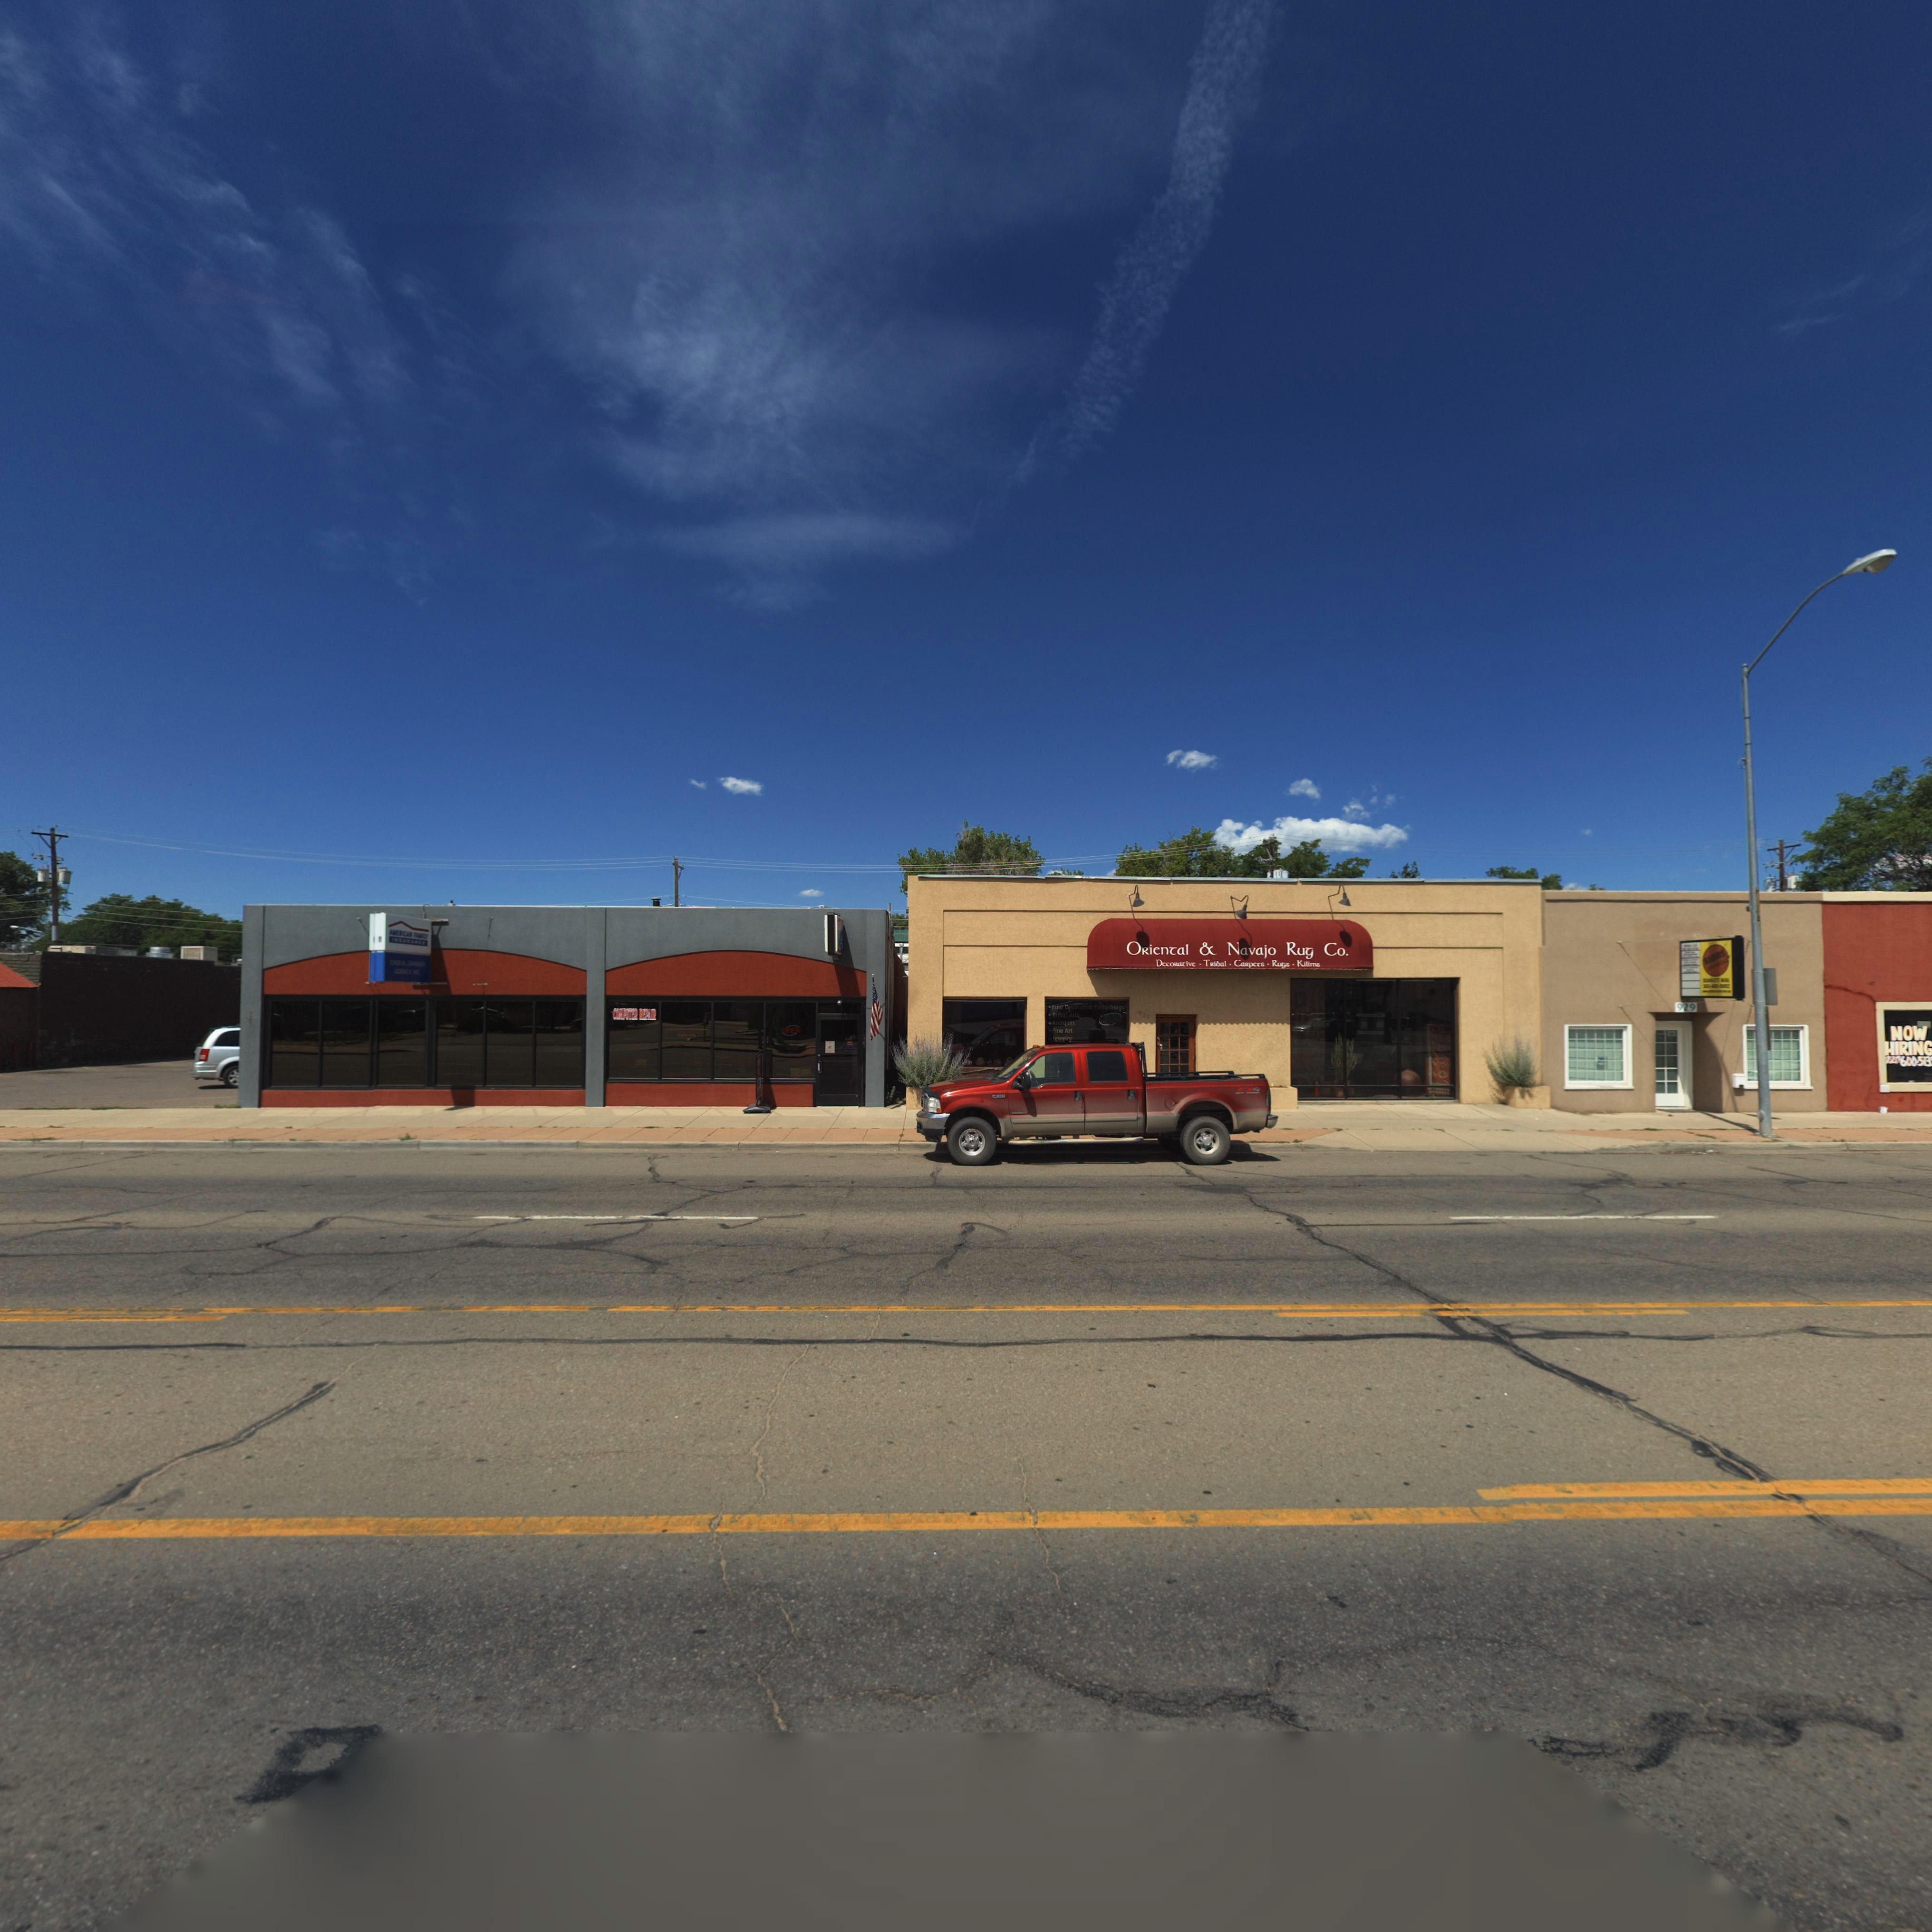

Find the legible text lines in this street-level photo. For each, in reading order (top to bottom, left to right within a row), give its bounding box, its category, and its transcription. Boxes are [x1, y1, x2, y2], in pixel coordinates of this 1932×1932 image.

[389, 928, 428, 939] BusinessName: AMERICAN FAMILY
[391, 937, 425, 945] BusinessName: INSURANCE
[1125, 940, 1349, 959] BusinessName: ORienTal & Navajo Rug Co.
[1677, 1003, 1695, 1011] StreetNumber: 929
[1138, 1009, 1149, 1021] StreetNumber: 927